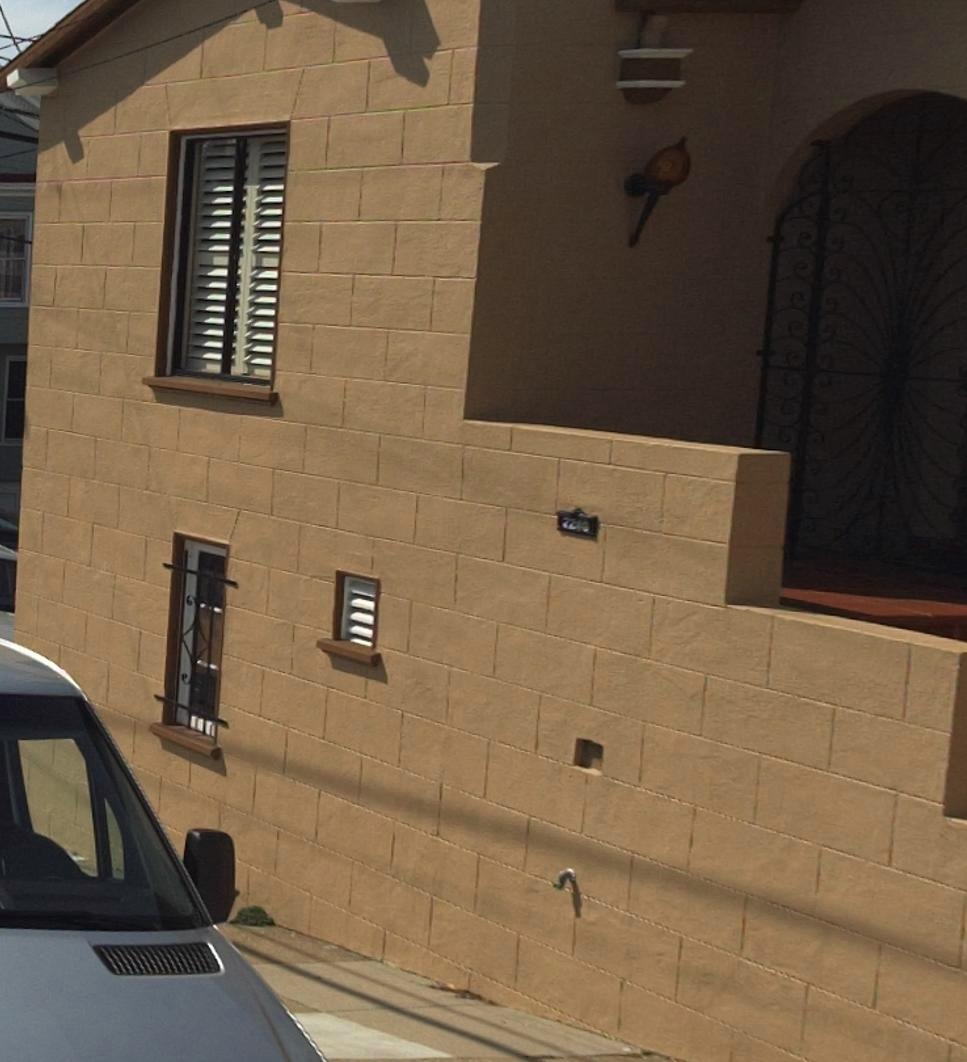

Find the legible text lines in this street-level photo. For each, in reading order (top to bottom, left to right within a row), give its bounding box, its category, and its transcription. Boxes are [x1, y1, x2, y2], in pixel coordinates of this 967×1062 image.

[559, 513, 593, 537] StreetNumber: 2240